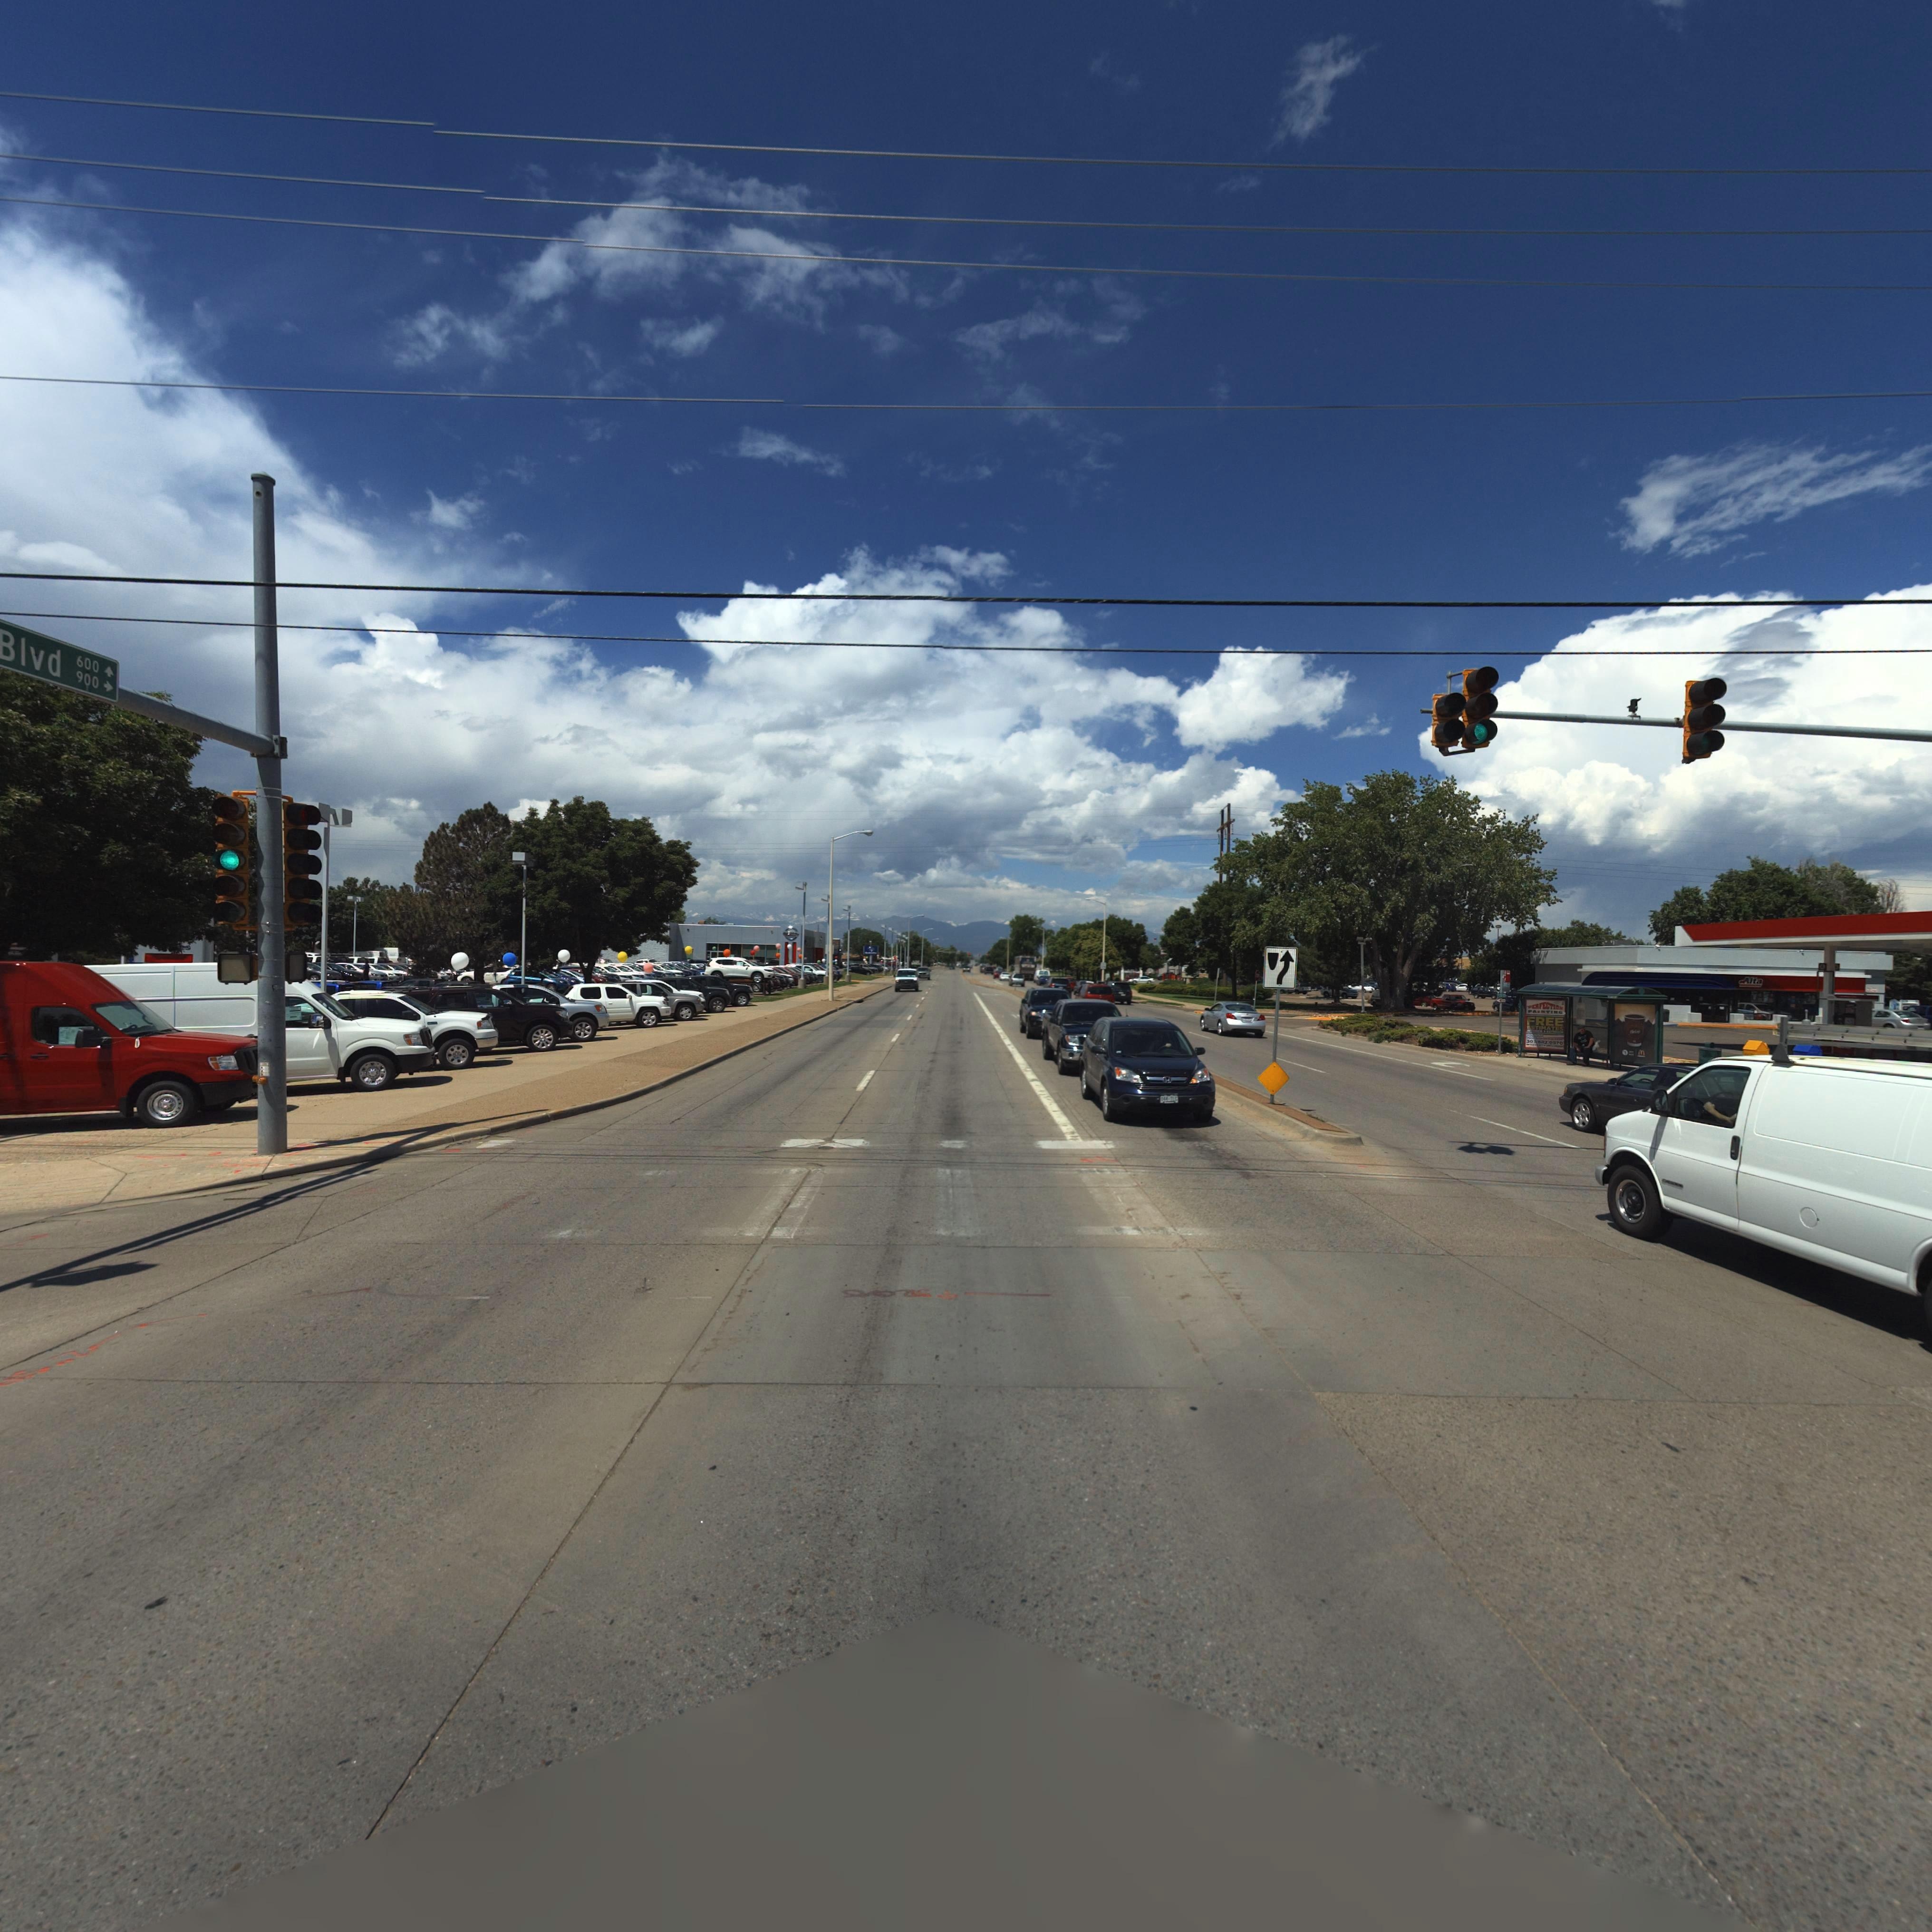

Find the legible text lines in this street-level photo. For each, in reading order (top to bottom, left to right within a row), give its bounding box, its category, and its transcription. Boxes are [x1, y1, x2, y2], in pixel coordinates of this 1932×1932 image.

[19, 635, 62, 678] StreetName: lvd
[76, 655, 99, 674] StreetNumberRange: 600
[76, 670, 114, 693] StreetNumberRange: 900 ->